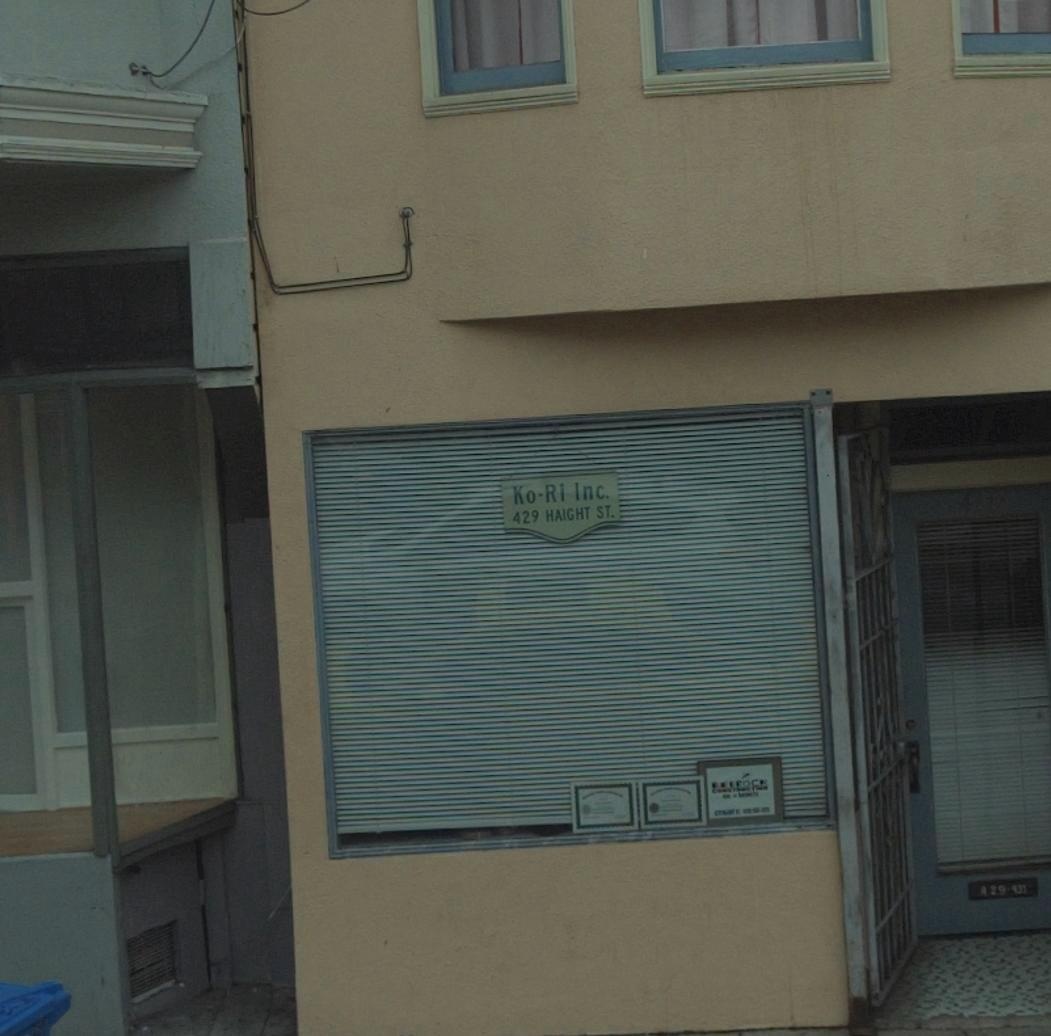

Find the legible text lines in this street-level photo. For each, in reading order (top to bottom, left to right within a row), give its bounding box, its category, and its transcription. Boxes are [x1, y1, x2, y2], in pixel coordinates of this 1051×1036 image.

[511, 478, 612, 508] BusinessName: Ko-Ri Inc.
[510, 508, 541, 526] StreetNumber: 429
[543, 502, 618, 527] StreetName: HAIGHT ST.